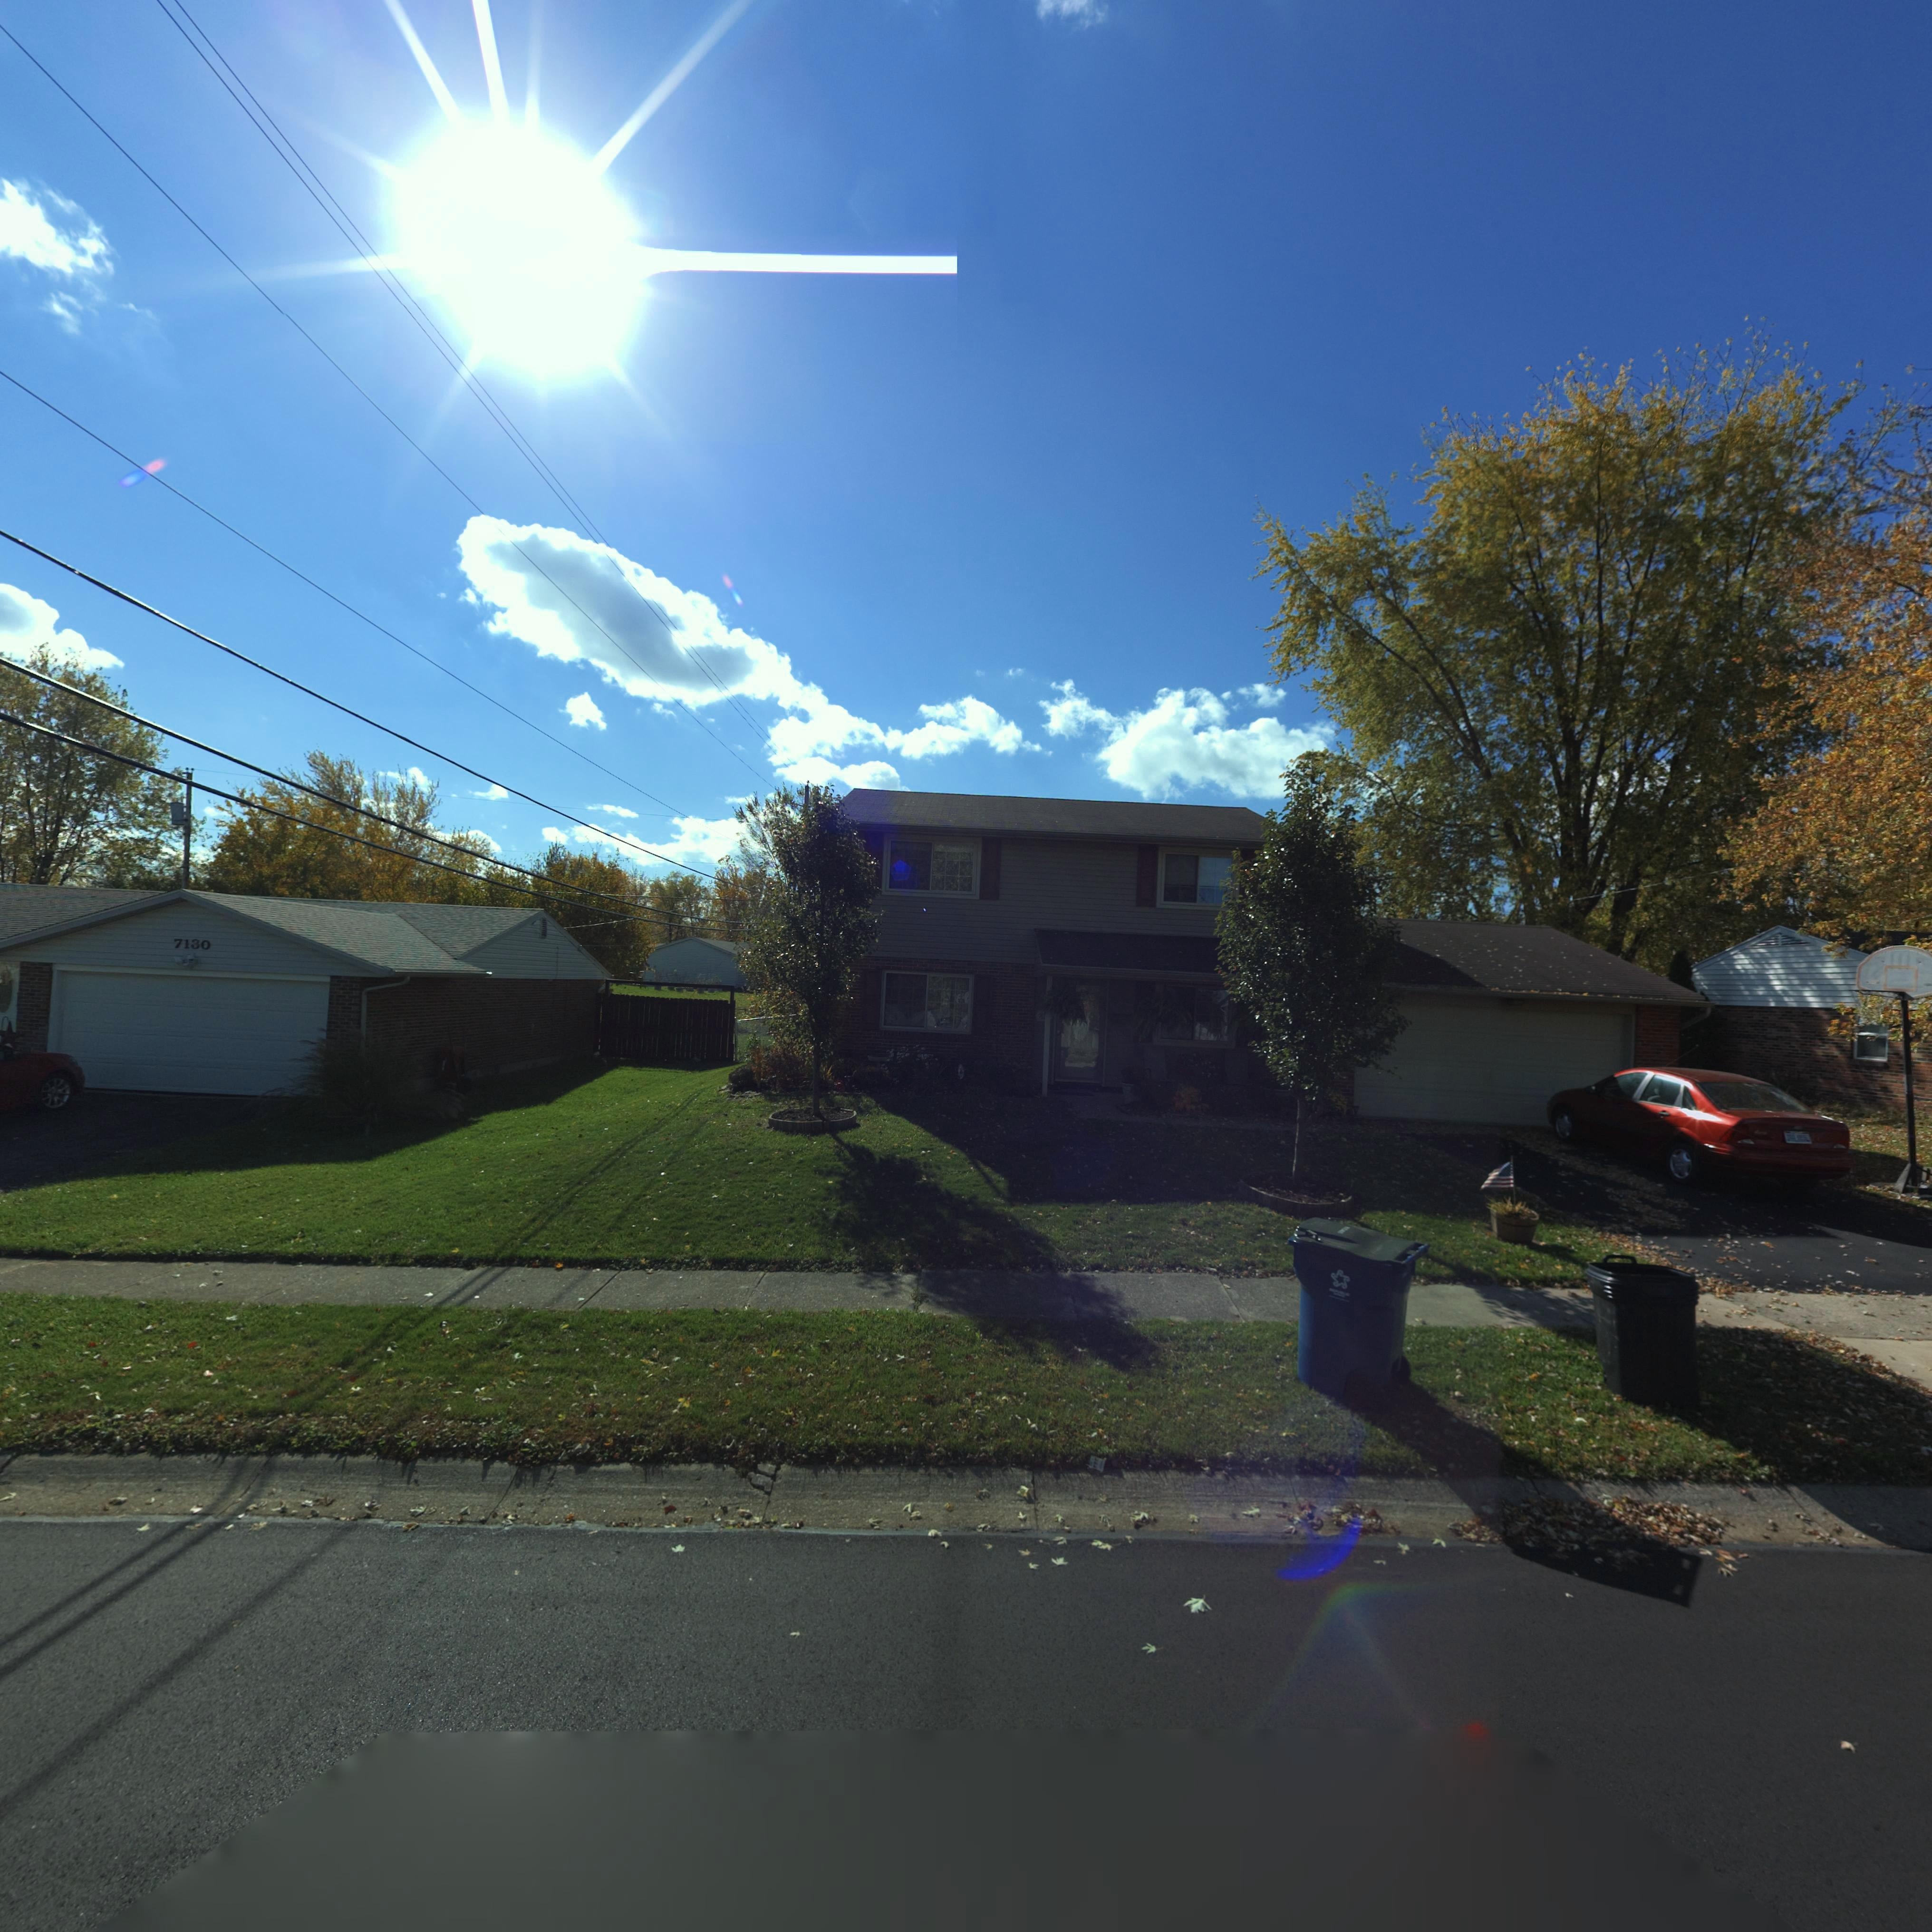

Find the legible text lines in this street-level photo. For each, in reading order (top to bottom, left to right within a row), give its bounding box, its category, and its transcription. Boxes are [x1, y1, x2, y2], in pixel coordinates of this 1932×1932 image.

[173, 937, 212, 952] StreetNumber: 7130